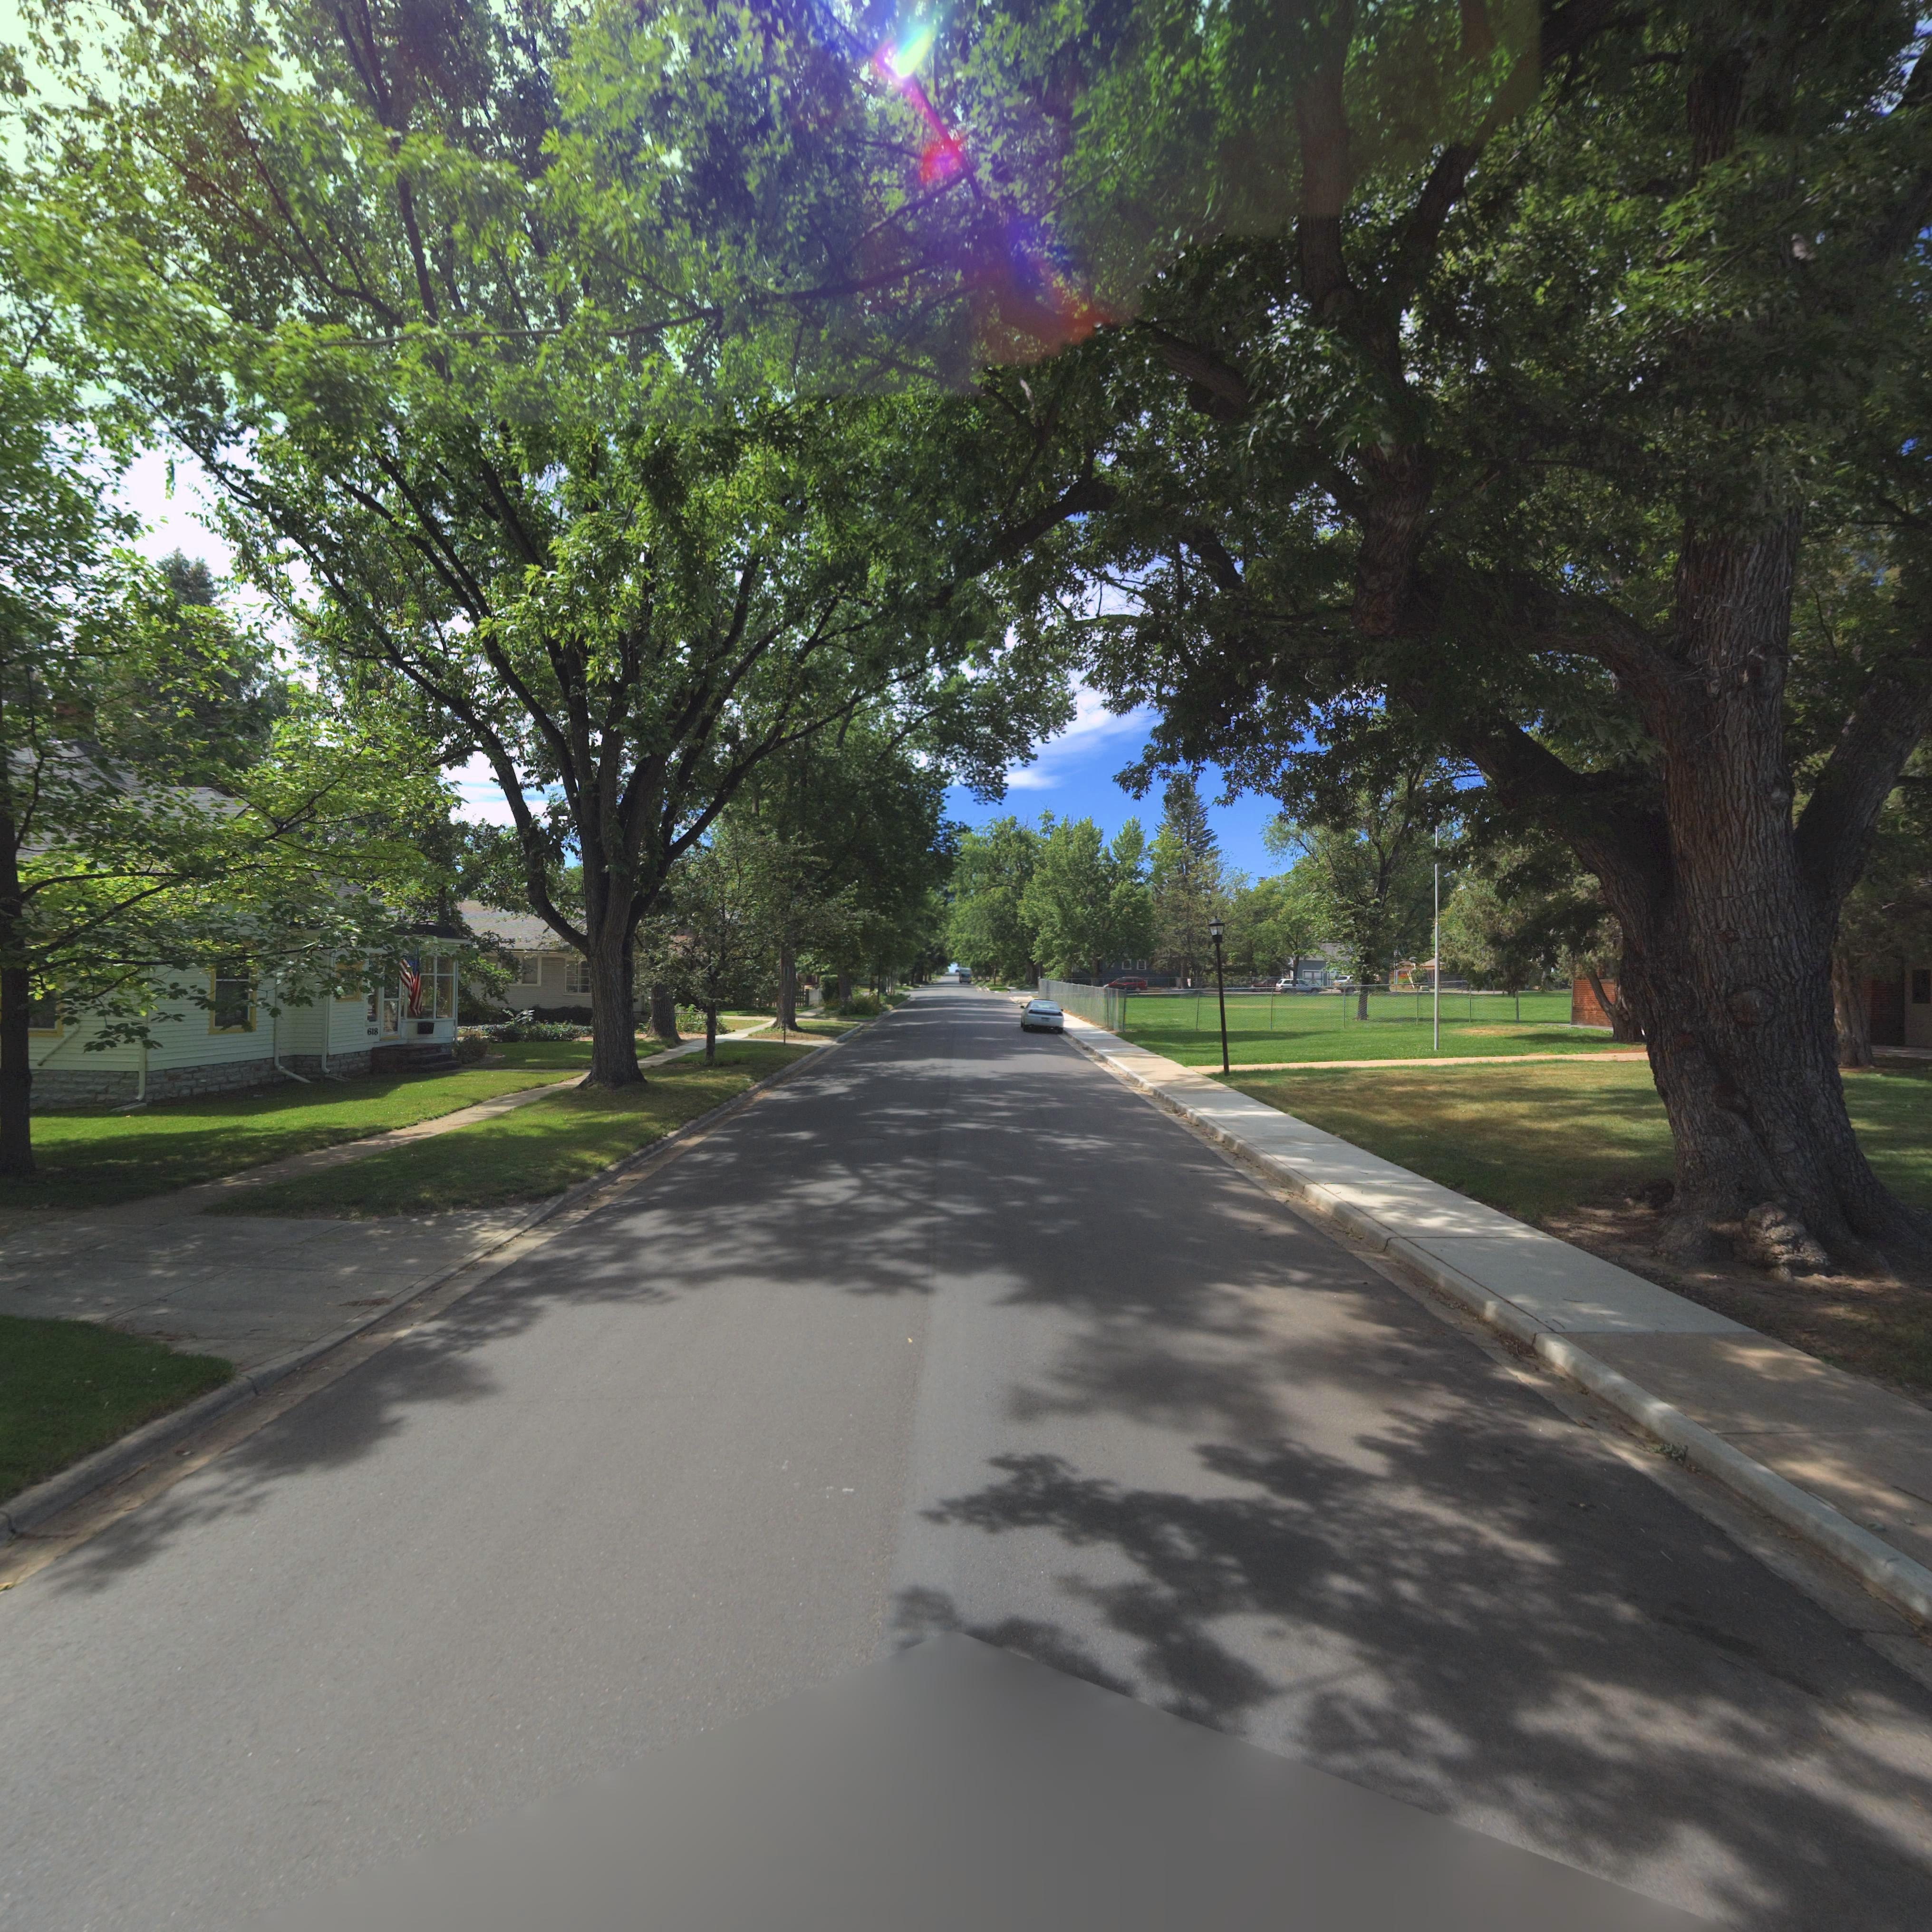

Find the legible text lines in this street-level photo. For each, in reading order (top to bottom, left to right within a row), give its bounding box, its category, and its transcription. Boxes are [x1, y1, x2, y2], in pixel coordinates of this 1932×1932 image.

[367, 1027, 378, 1035] StreetNumber: 618